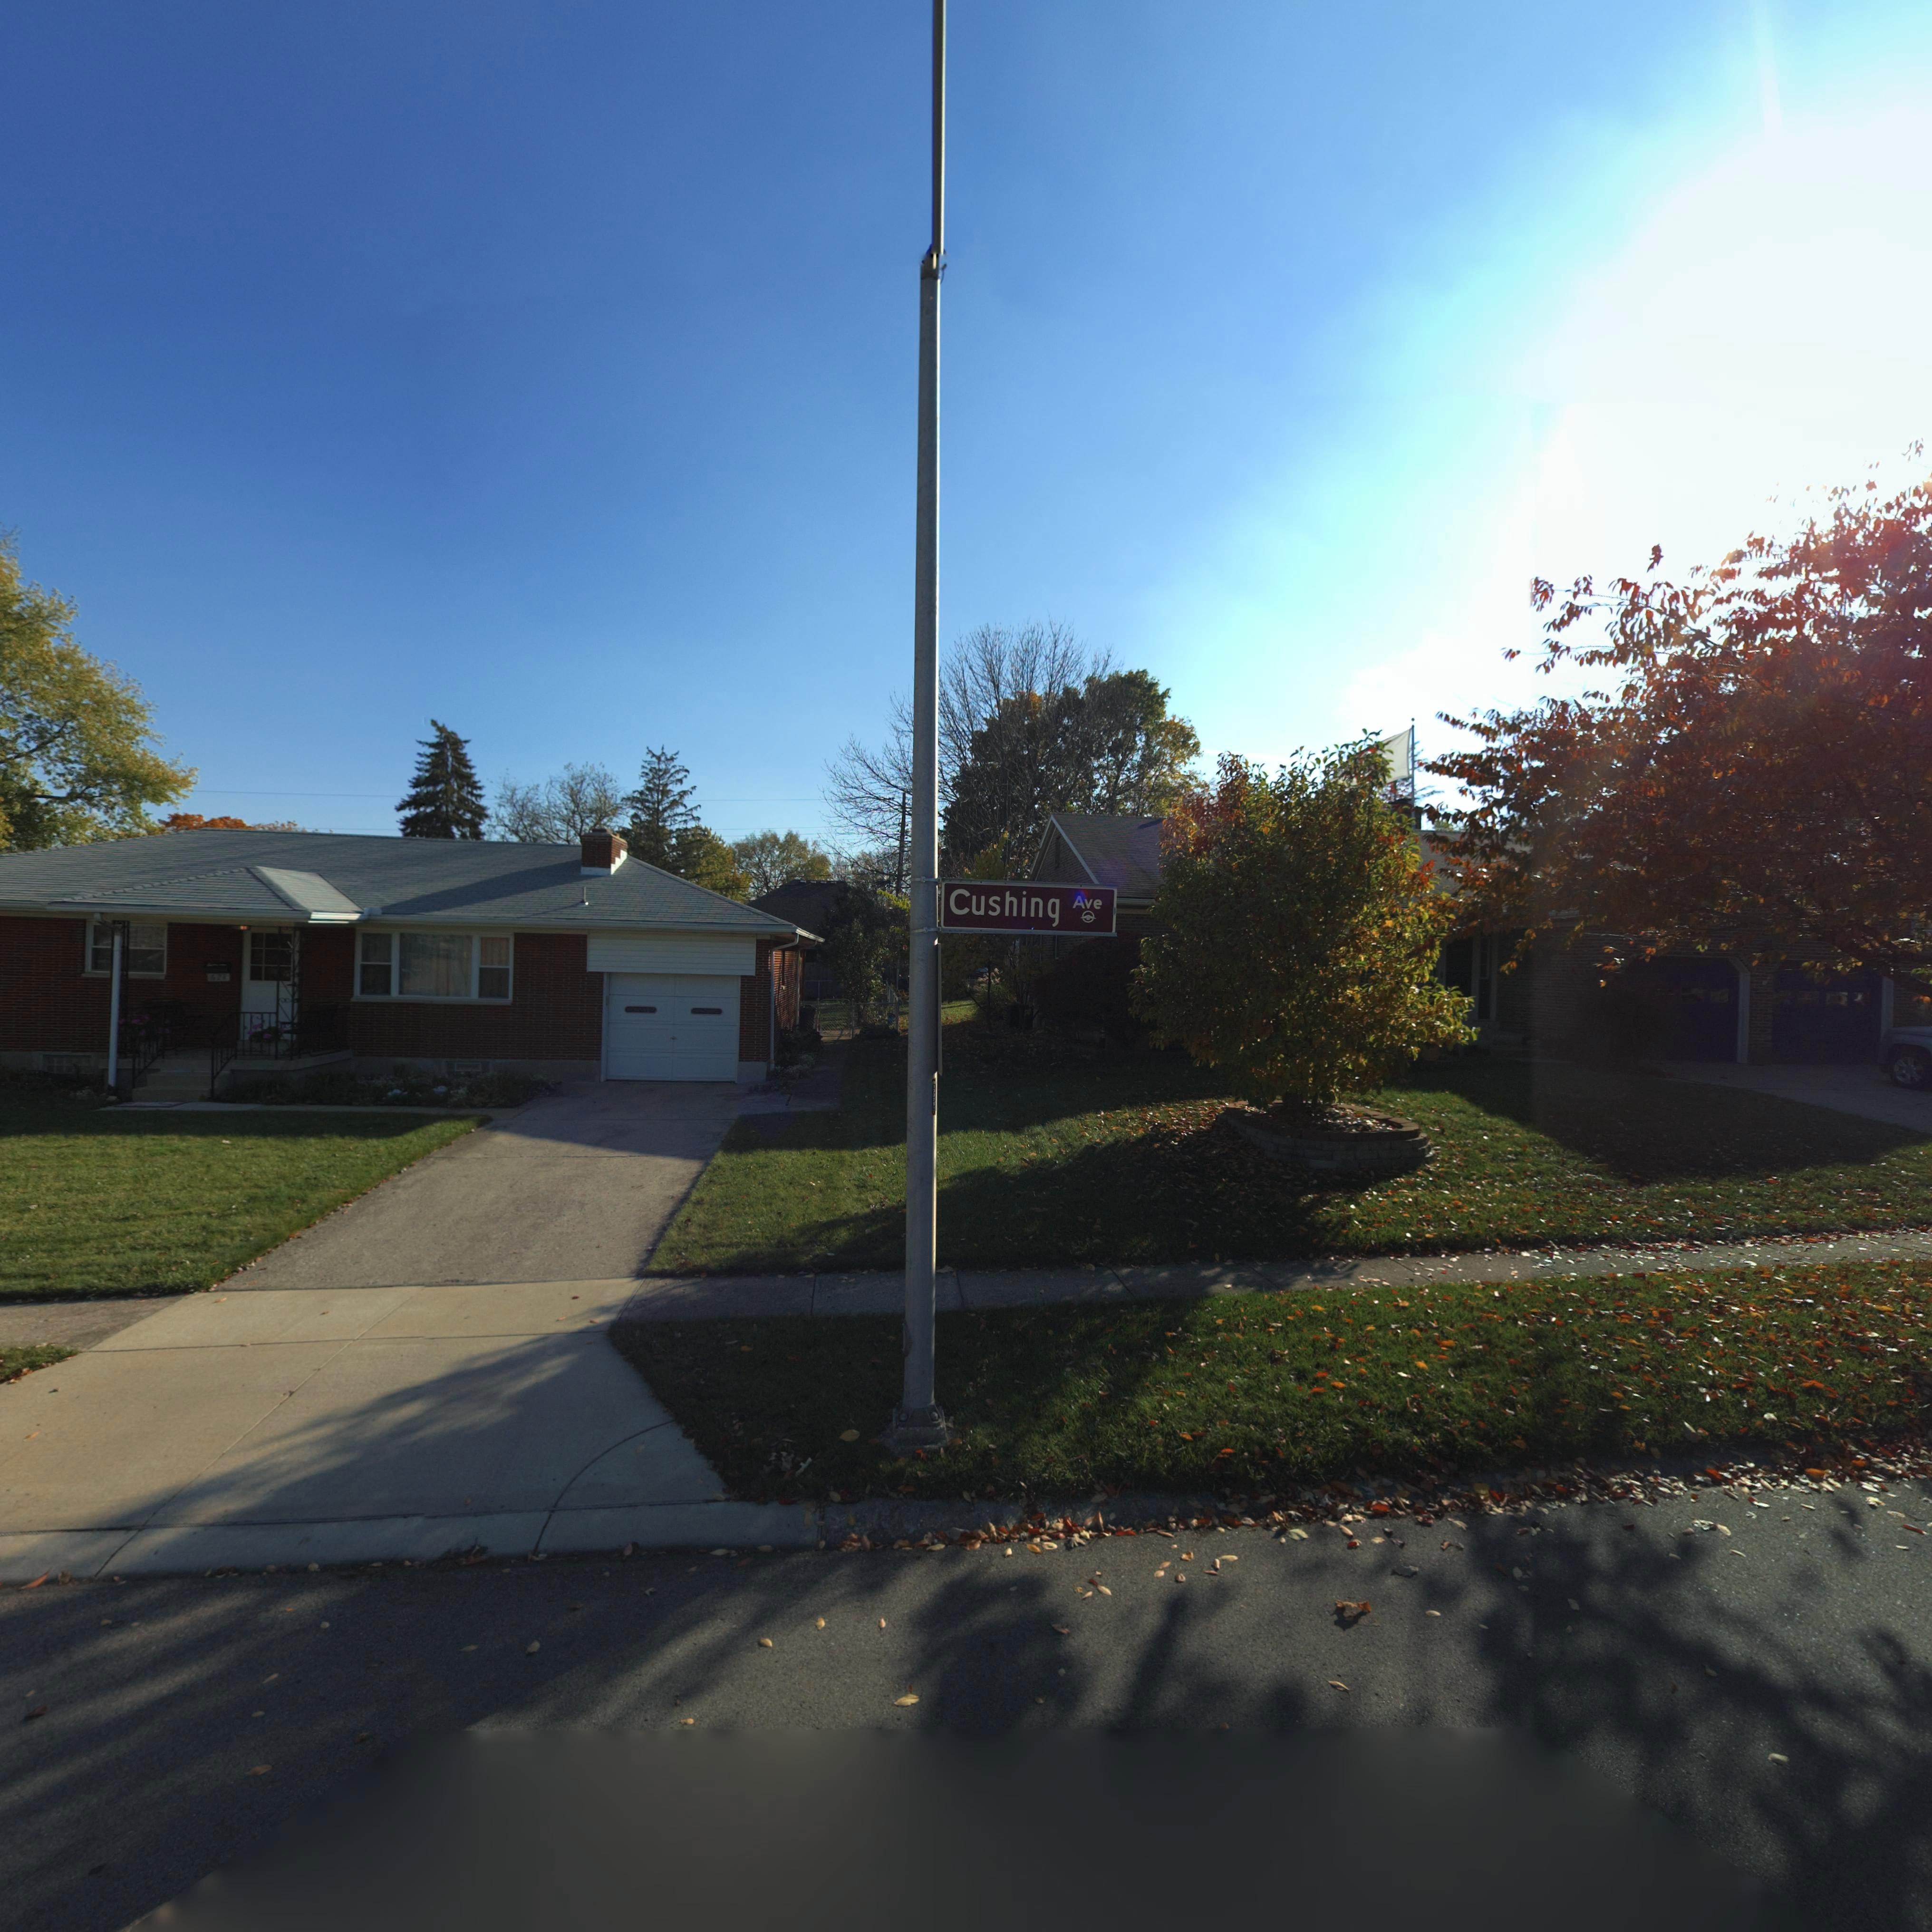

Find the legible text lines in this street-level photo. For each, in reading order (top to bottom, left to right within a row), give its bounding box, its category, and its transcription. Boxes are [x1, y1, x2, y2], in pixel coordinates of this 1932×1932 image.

[947, 887, 1103, 929] StreetName: Cushing Ave
[209, 973, 226, 981] StreetNumber: 6**